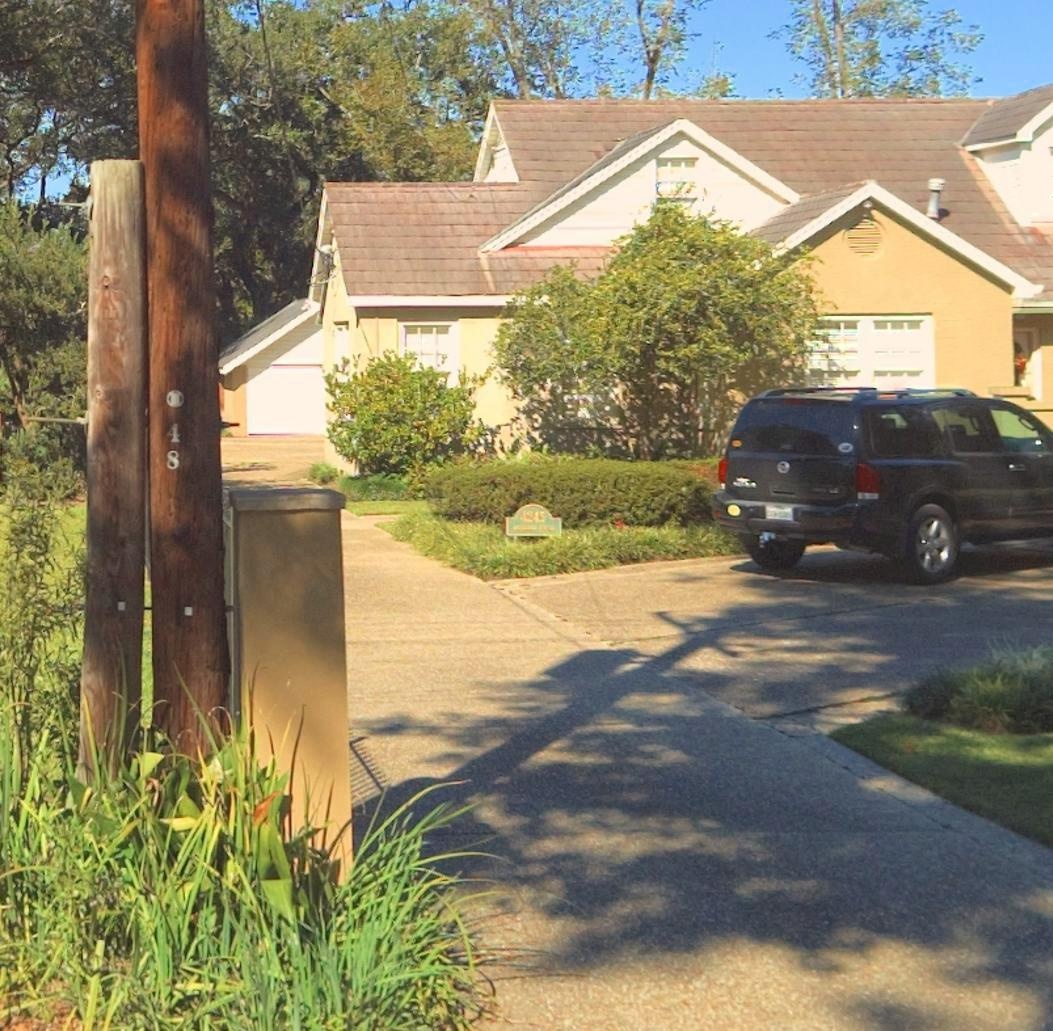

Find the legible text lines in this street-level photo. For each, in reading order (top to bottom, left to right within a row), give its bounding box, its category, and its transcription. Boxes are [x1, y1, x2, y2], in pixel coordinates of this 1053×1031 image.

[165, 422, 181, 471] None: 48
[519, 510, 546, 523] StreetNumber: 4245